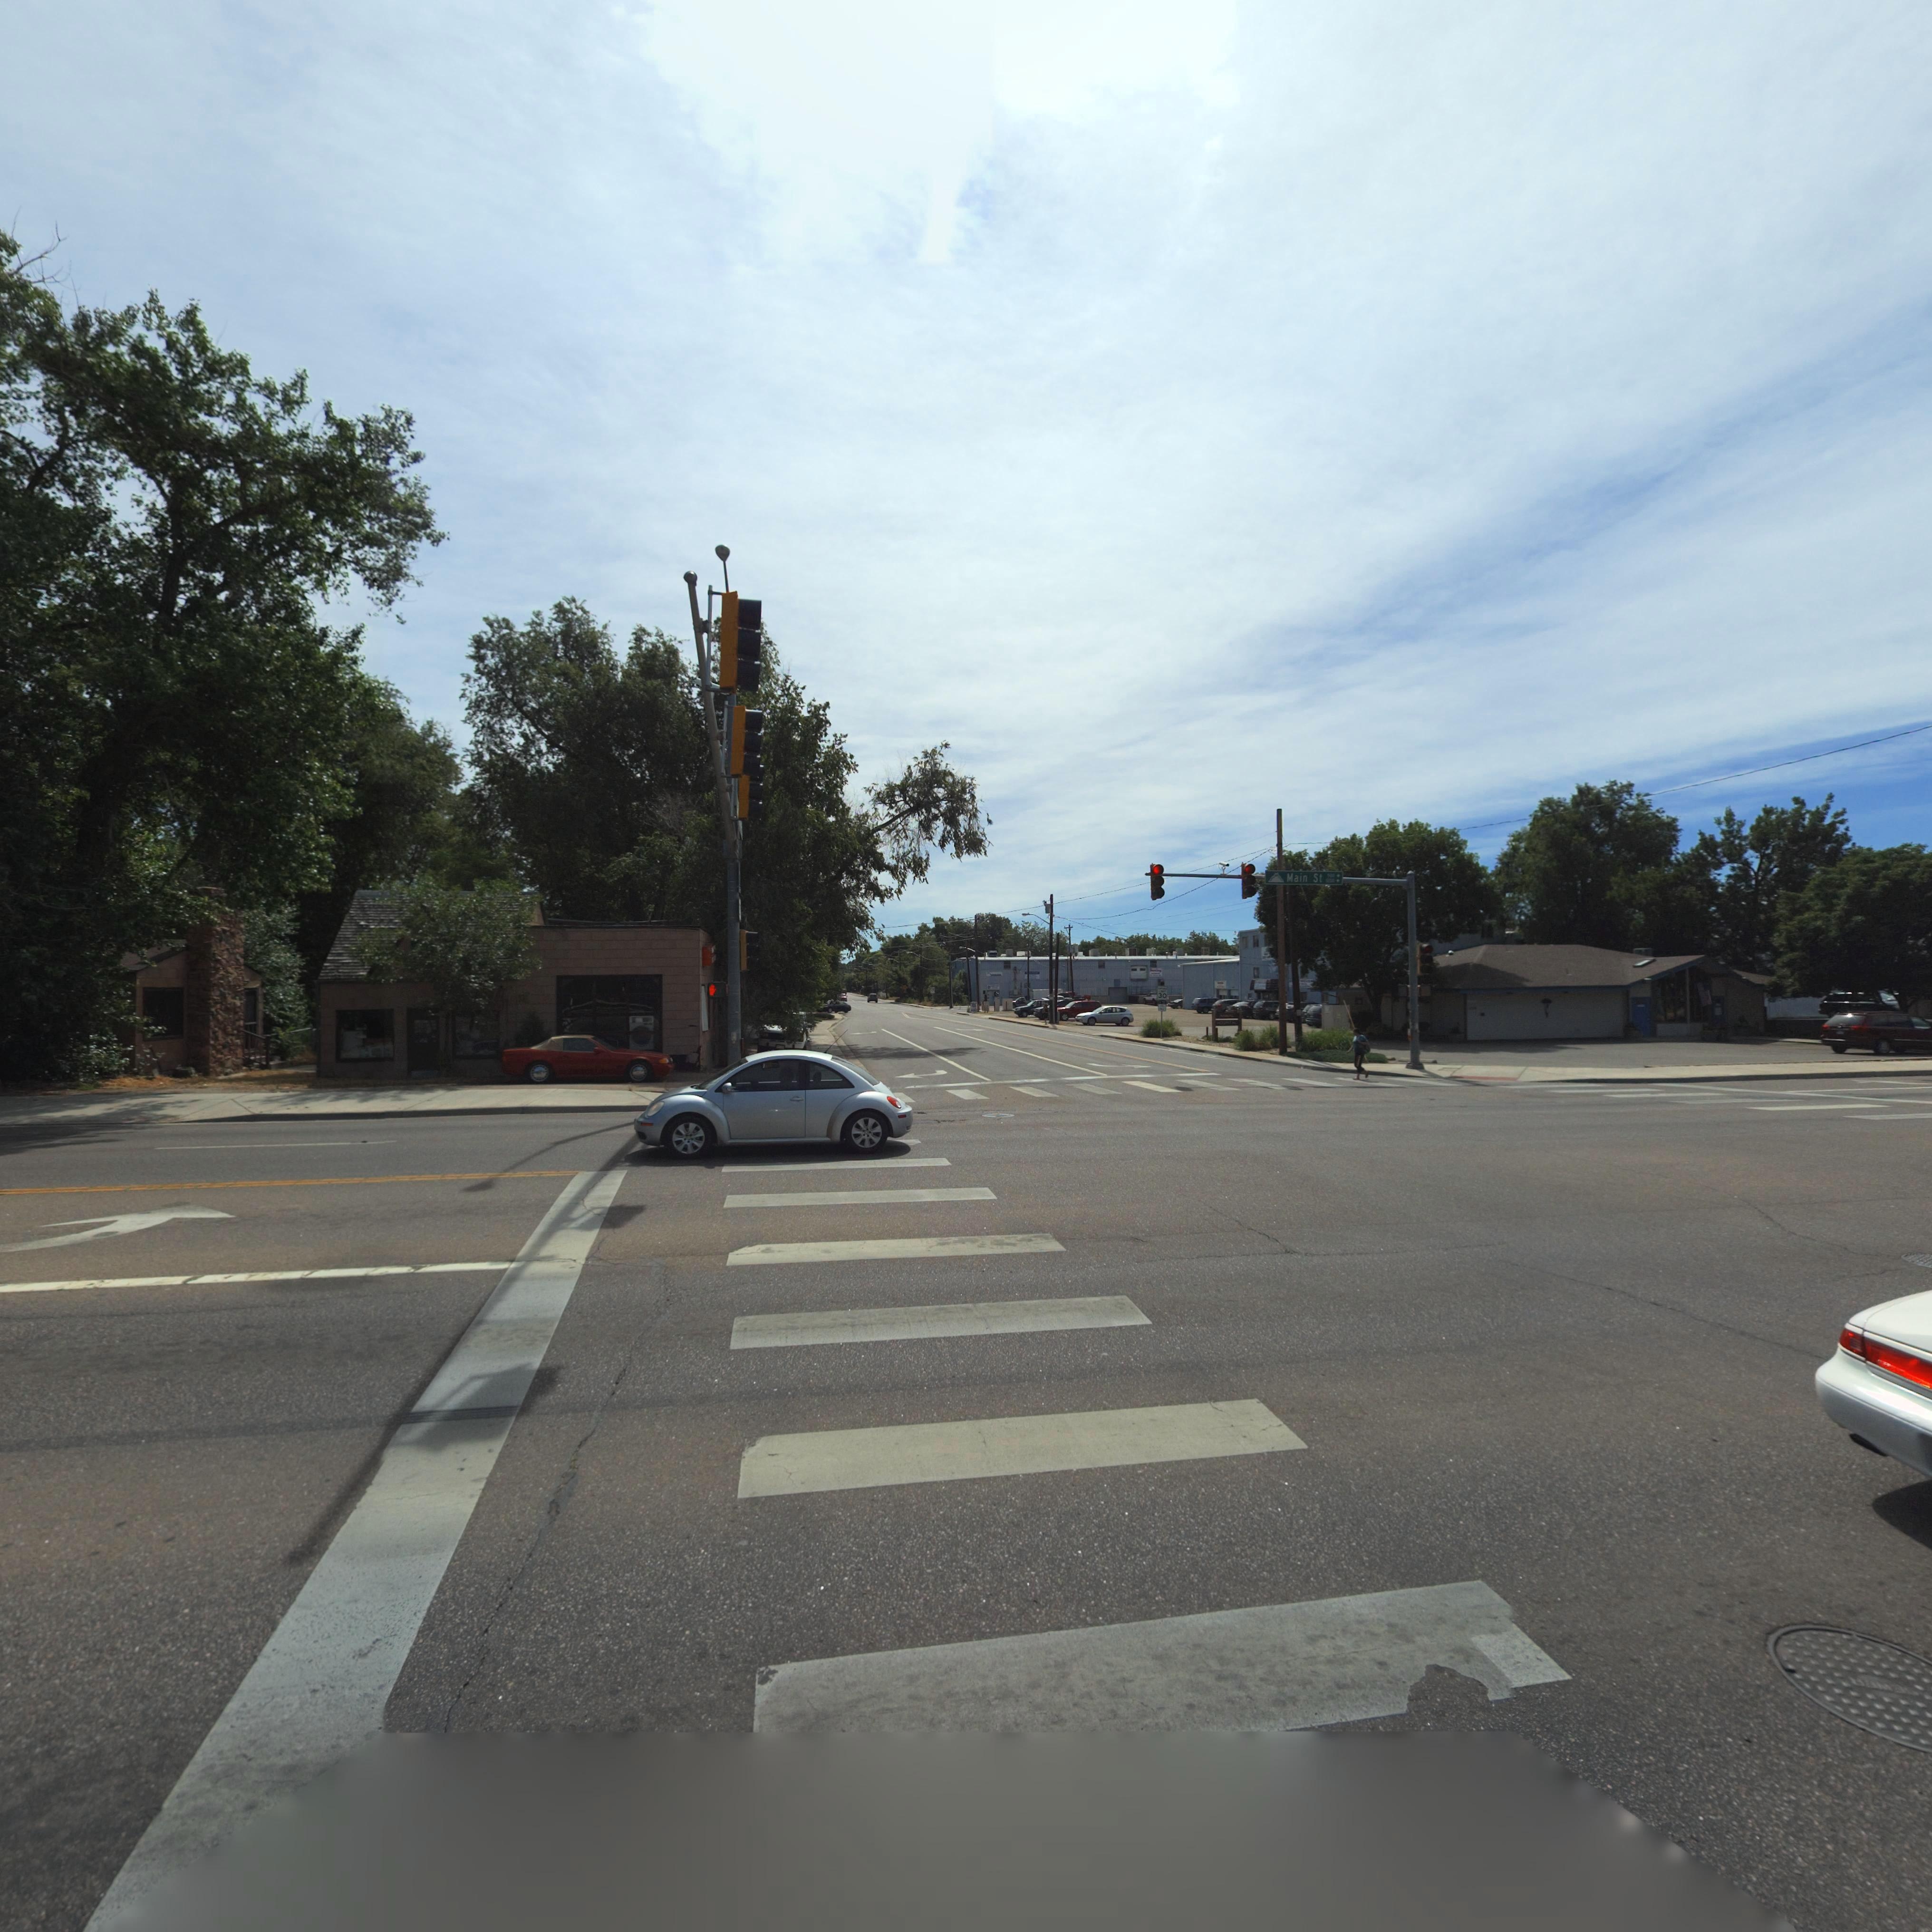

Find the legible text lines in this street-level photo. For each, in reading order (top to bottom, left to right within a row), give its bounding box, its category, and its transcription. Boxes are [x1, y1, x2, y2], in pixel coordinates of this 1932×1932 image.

[1286, 873, 1323, 882] StreetName: Main St
[1325, 878, 1335, 883] StreetNumberRange: 12**
[1216, 1020, 1237, 1025] None: *O*****L